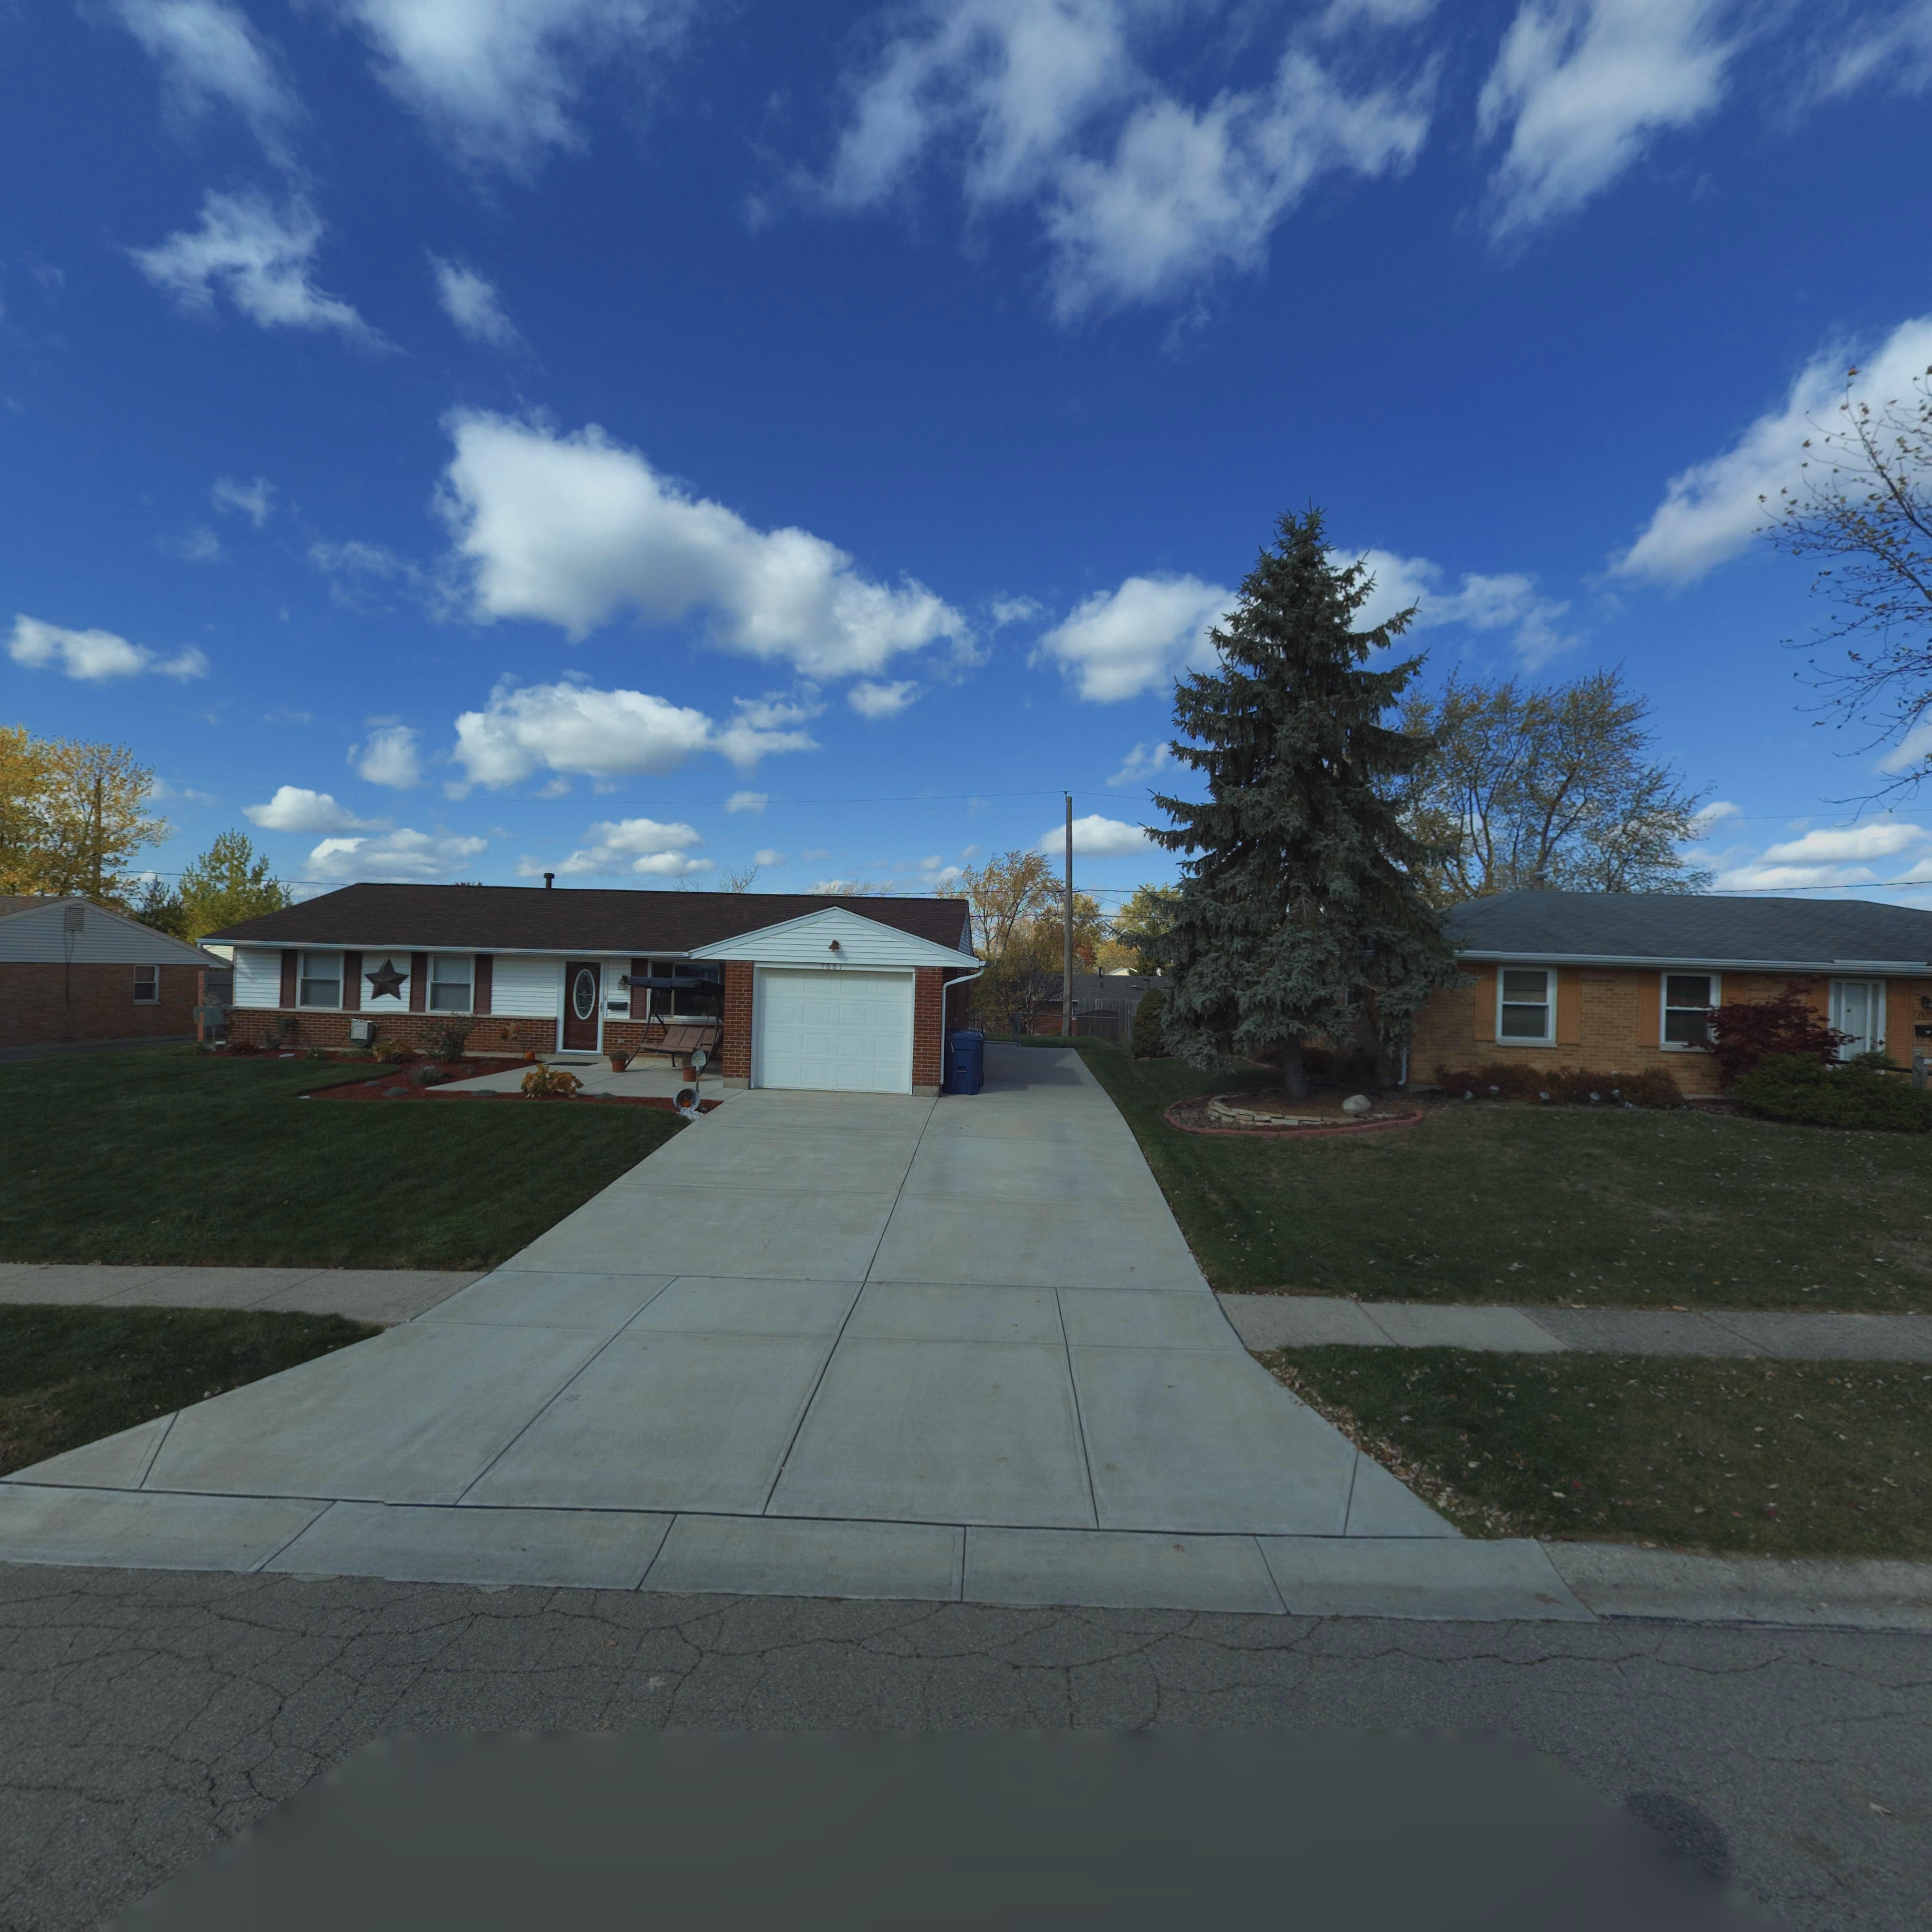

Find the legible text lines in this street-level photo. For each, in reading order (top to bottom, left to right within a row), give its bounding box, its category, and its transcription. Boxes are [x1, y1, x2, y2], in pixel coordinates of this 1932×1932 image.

[821, 962, 843, 970] StreetNumber: 7681
[1917, 1011, 1930, 1018] StreetNumber: 7*9